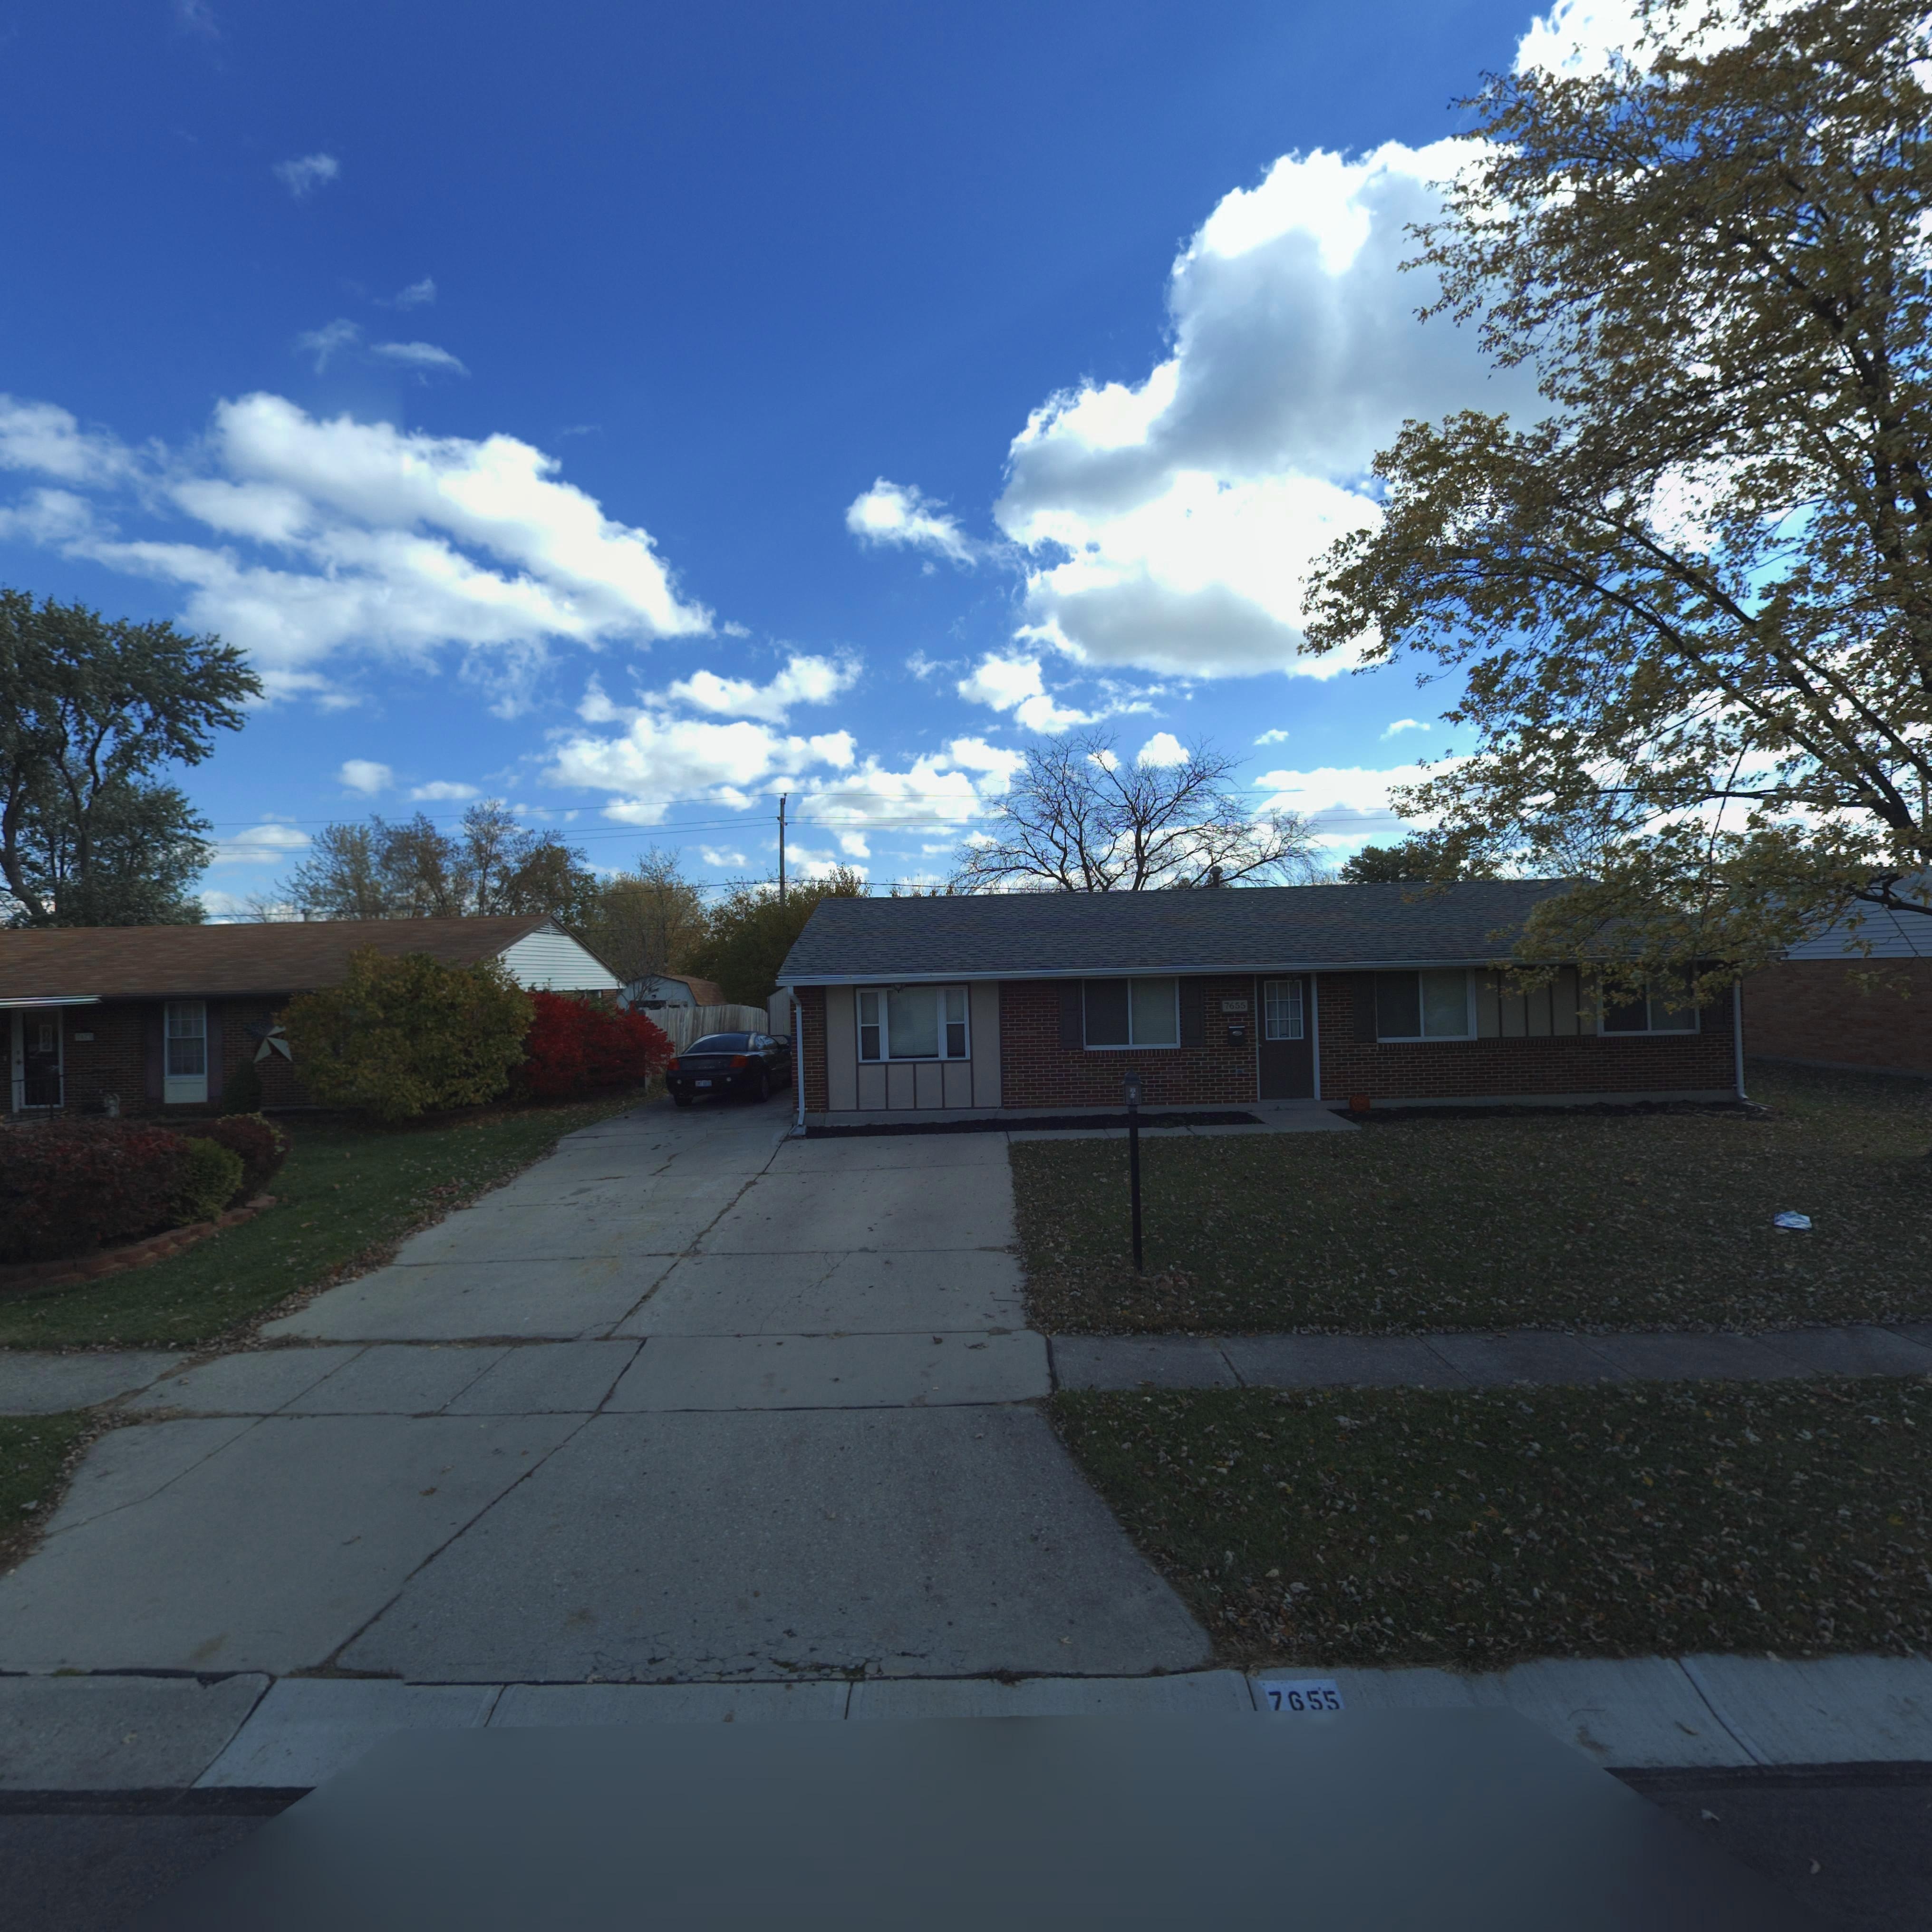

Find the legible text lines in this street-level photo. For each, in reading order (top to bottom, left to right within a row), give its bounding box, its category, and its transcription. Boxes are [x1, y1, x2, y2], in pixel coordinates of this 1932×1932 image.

[1224, 1002, 1246, 1010] StreetNumber: 7655
[76, 1033, 94, 1041] StreetNumber: 7***
[1267, 1689, 1342, 1712] StreetNumber: 7655